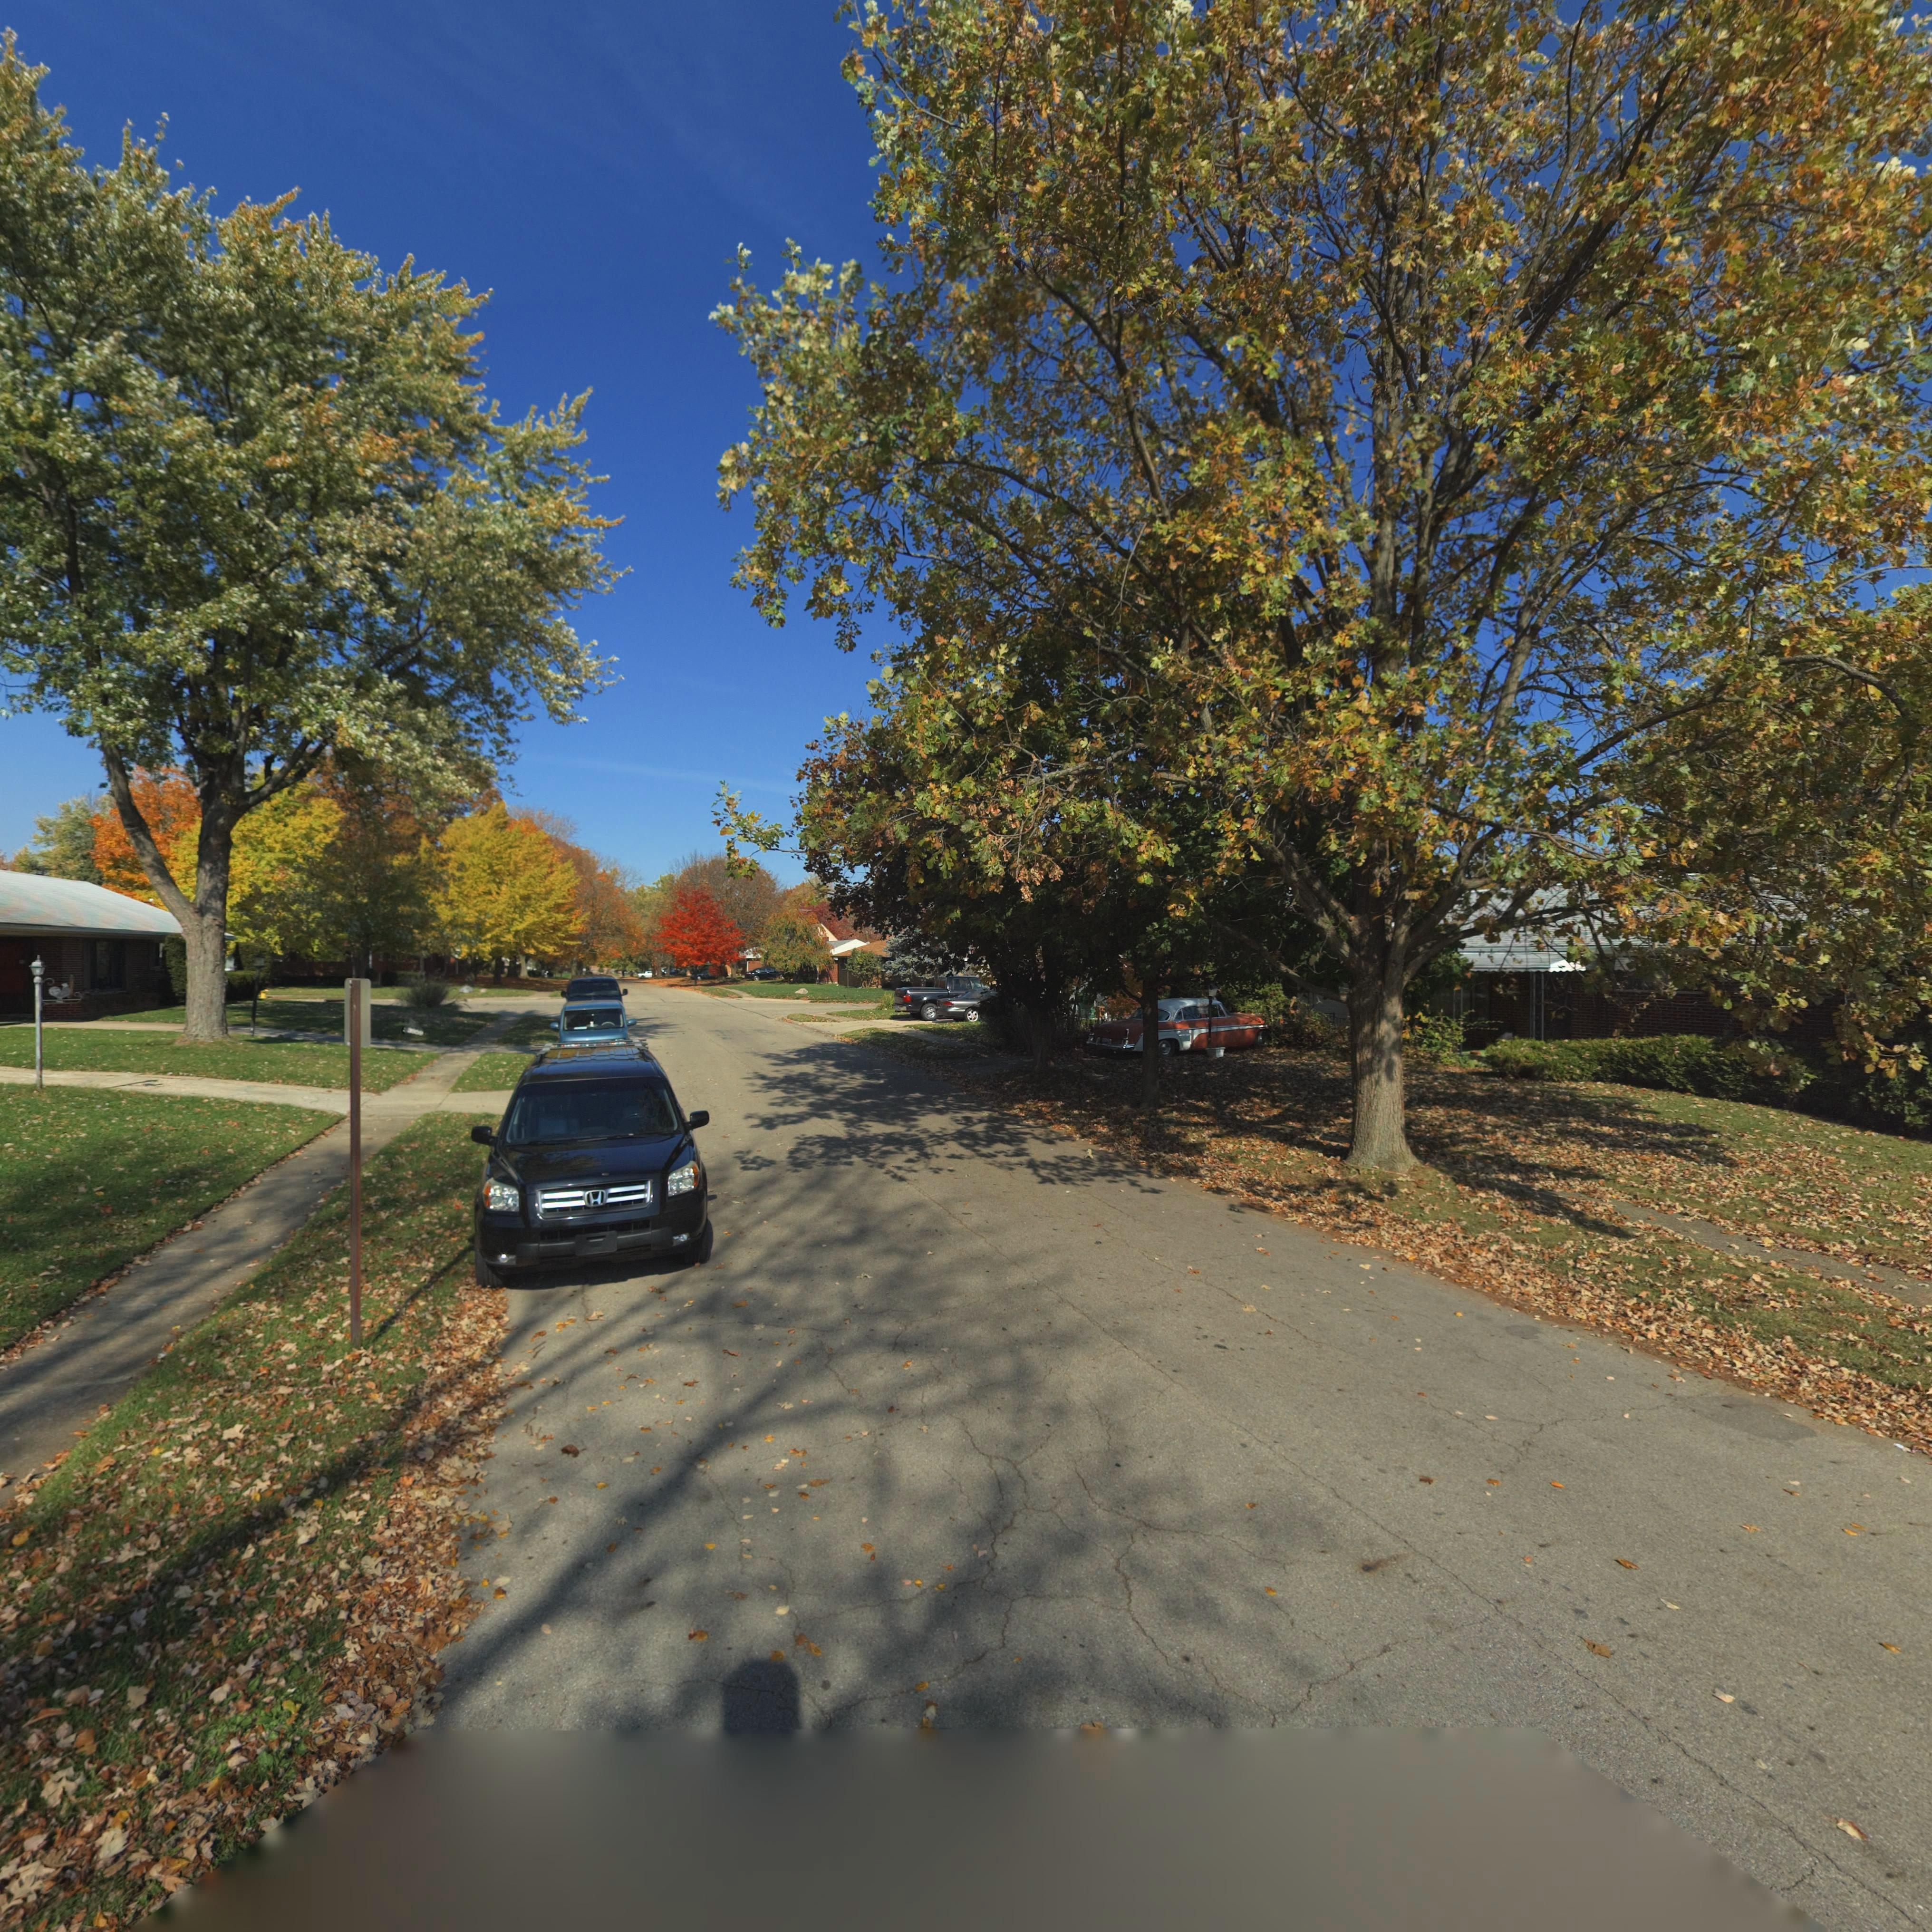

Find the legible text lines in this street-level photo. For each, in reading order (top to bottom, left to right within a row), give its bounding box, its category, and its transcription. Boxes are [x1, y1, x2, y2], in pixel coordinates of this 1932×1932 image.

[589, 1190, 602, 1207] None: H